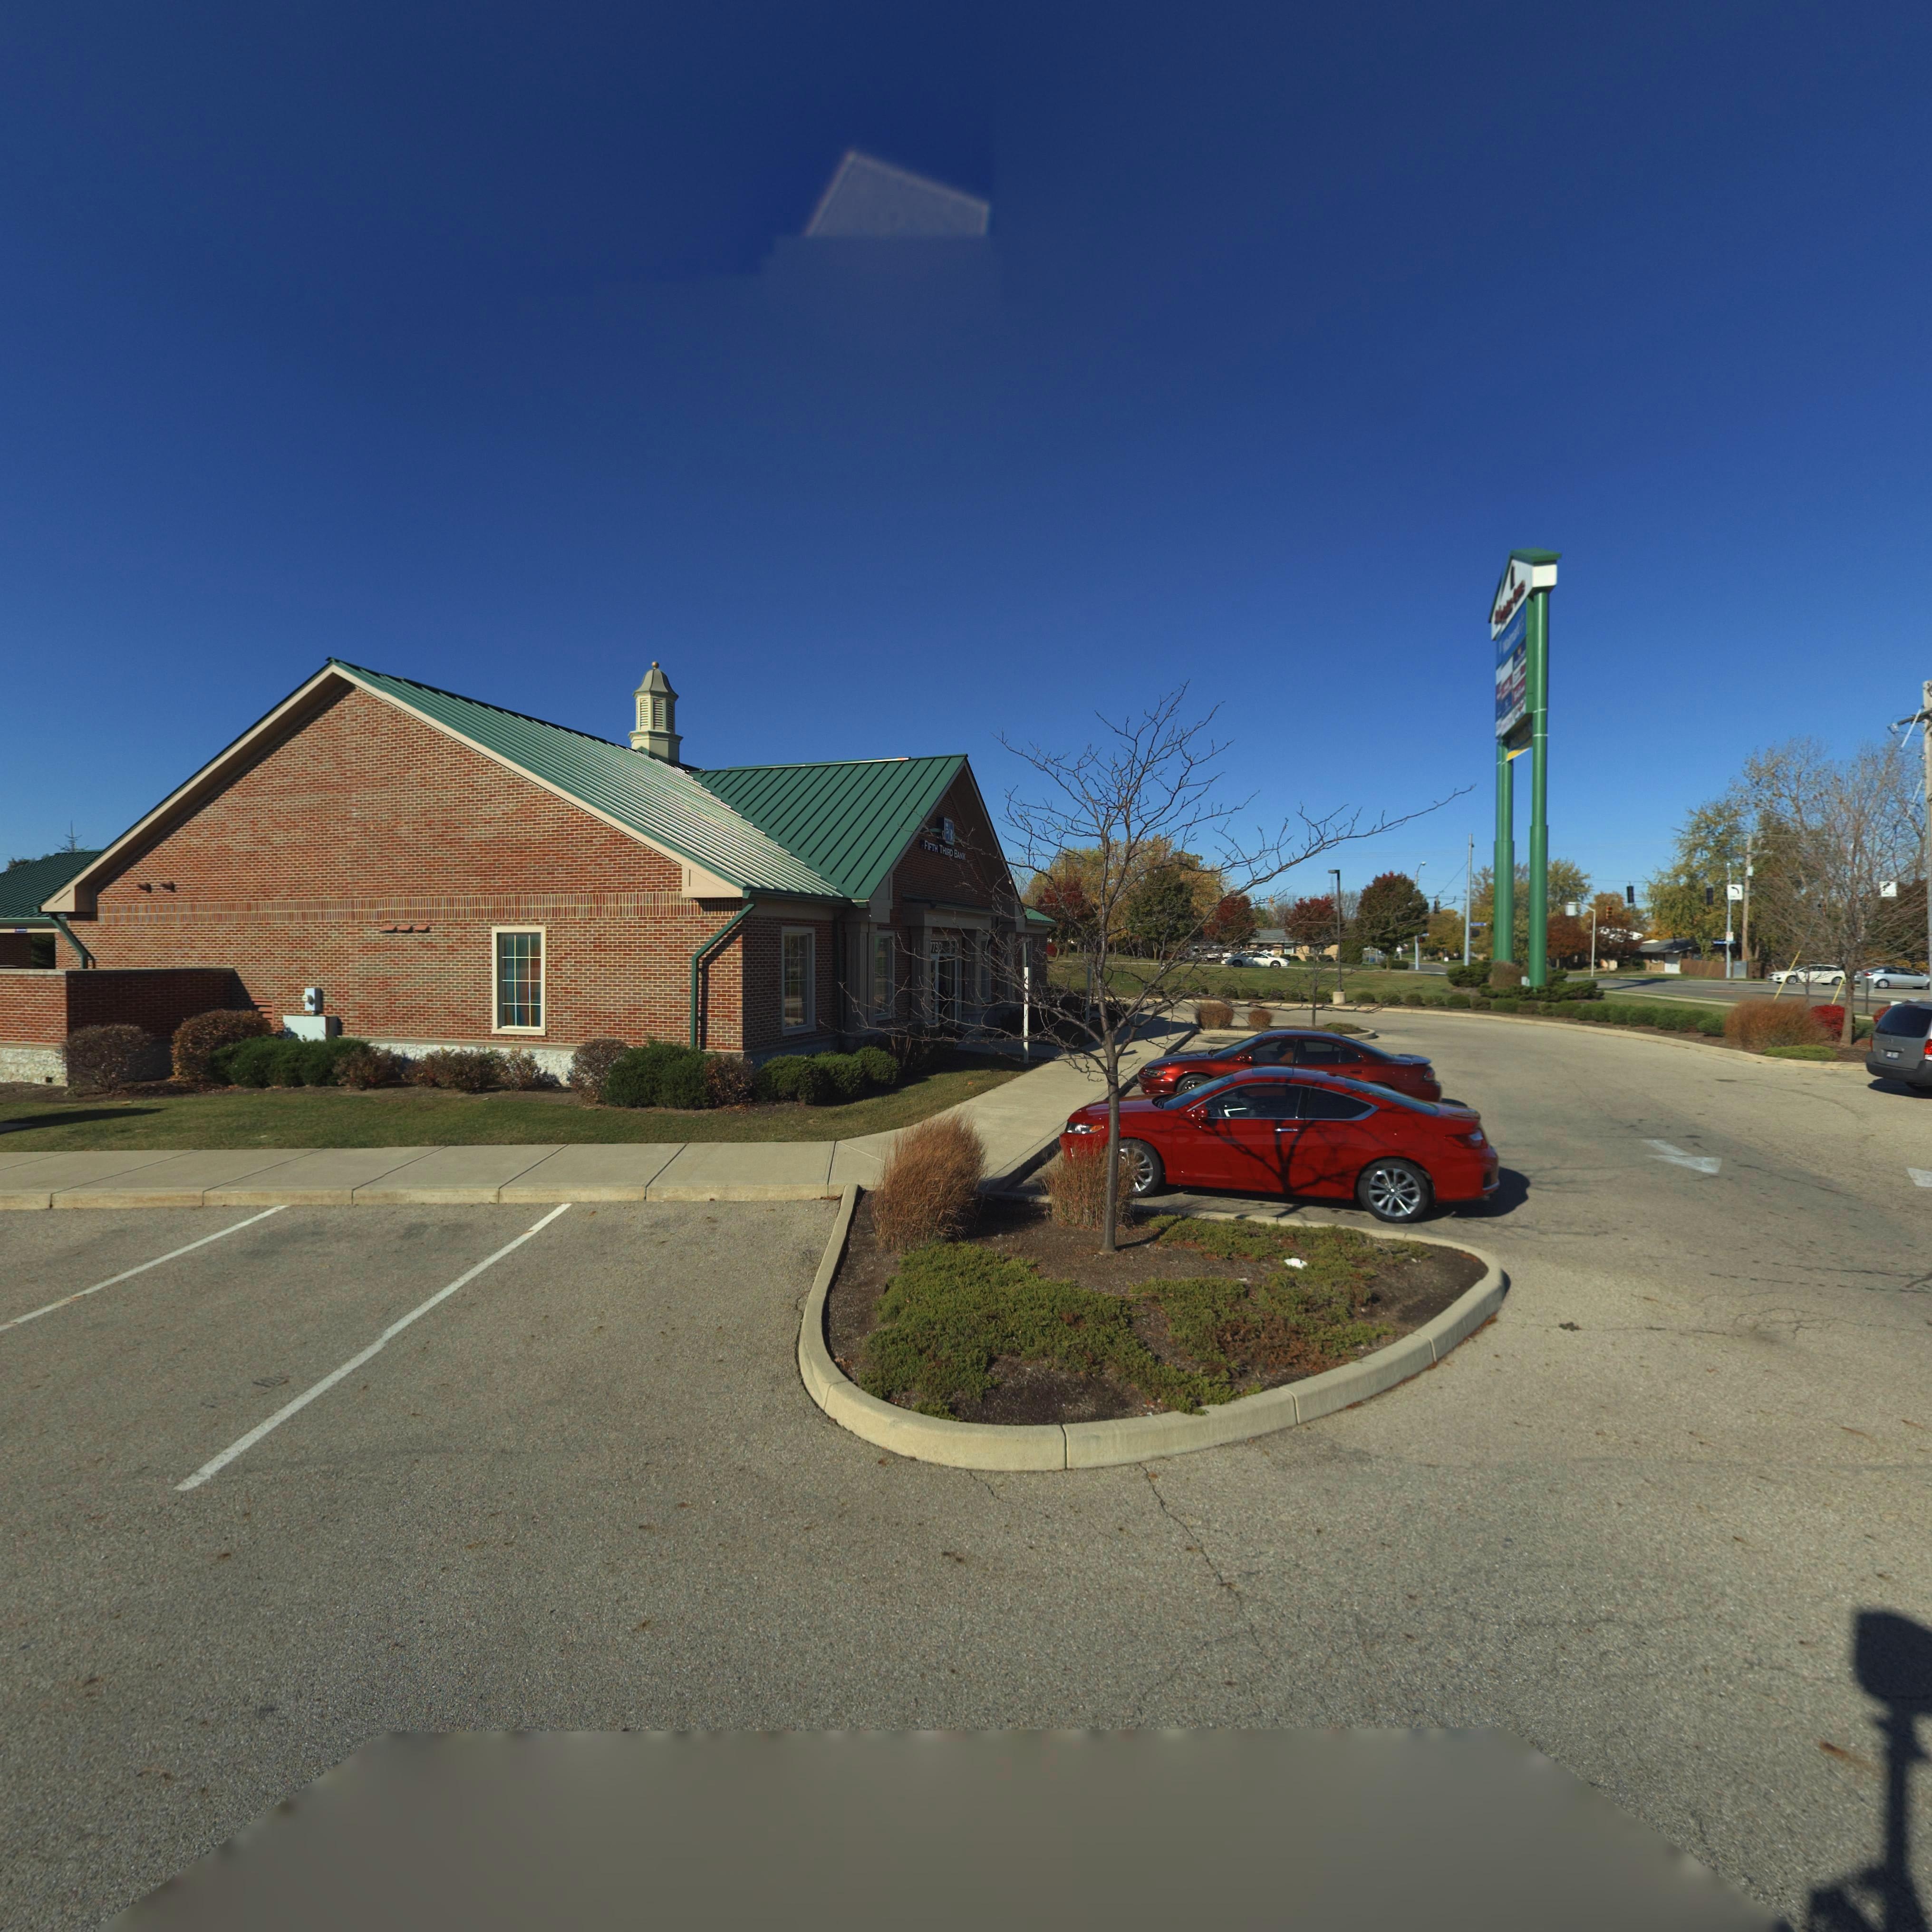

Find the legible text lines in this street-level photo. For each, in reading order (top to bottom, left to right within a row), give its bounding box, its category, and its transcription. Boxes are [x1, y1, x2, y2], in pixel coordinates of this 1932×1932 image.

[929, 941, 943, 953] StreetNumber: 7730